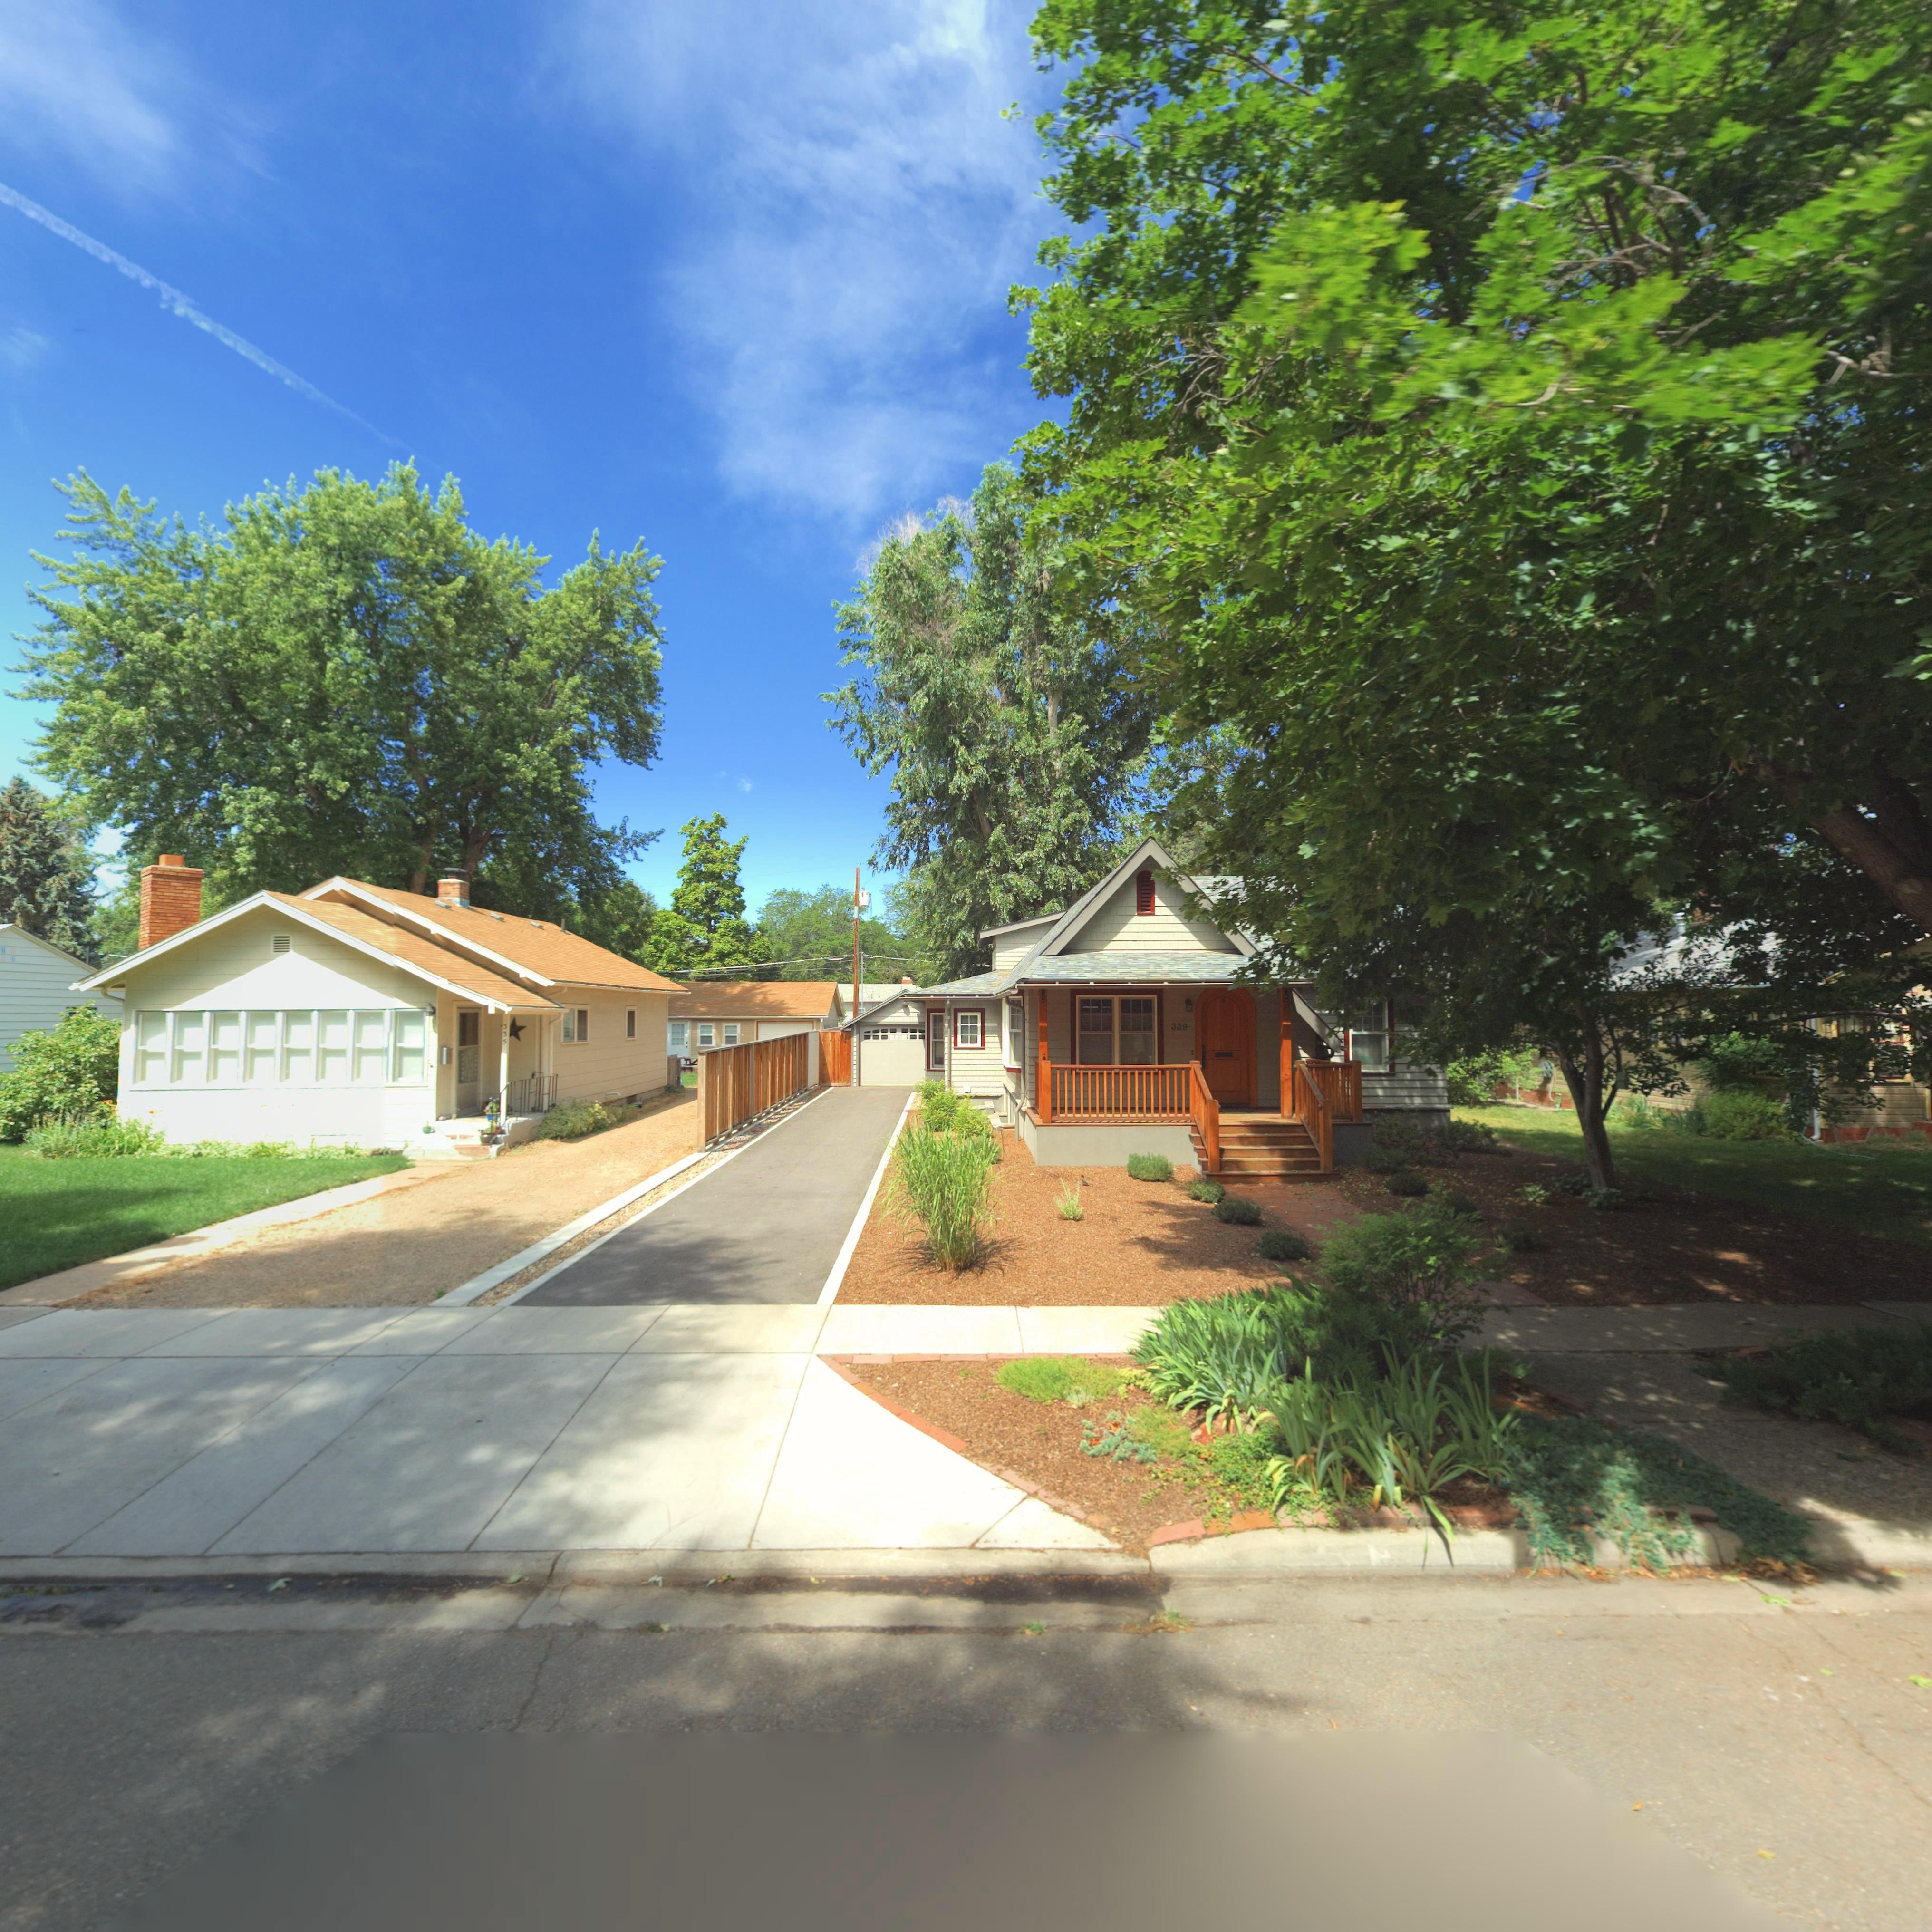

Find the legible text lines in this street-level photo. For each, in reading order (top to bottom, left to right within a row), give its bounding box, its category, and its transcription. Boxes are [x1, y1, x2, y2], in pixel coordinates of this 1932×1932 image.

[502, 1024, 507, 1044] StreetNumber: 335
[1171, 1023, 1187, 1030] StreetNumber: 339